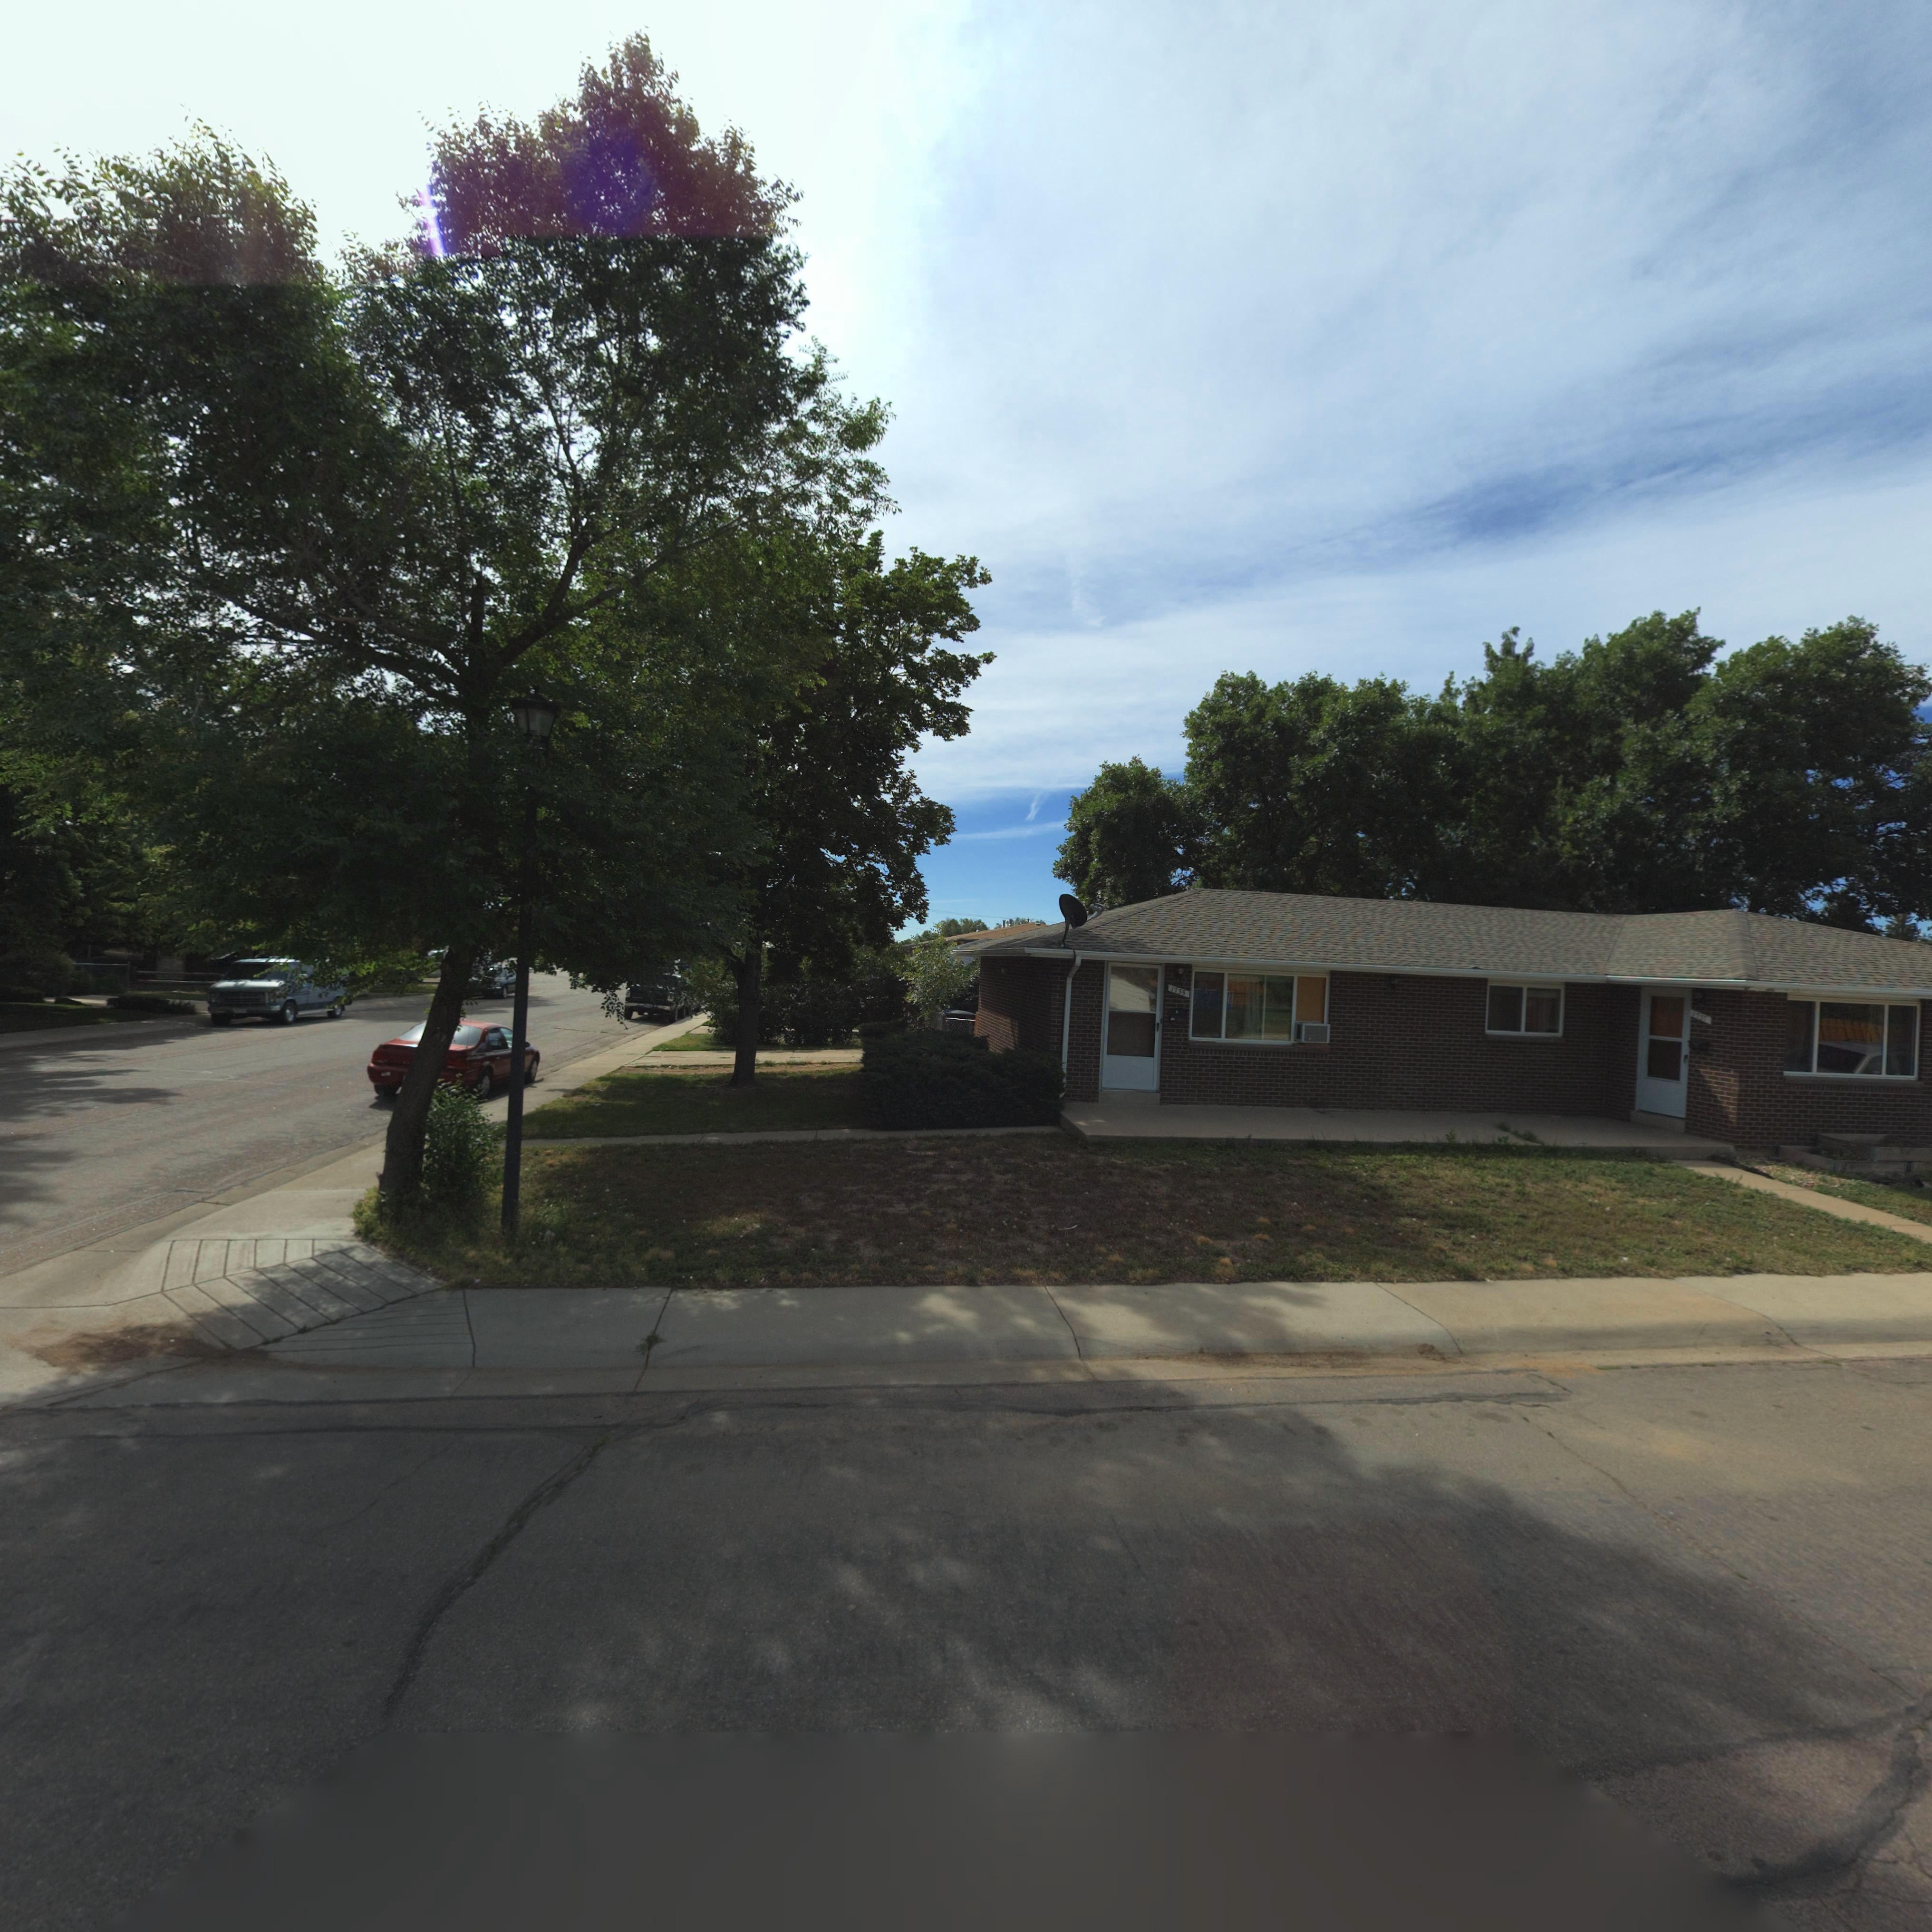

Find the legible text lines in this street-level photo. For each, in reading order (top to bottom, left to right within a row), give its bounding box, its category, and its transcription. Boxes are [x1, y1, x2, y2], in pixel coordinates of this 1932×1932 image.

[1170, 985, 1186, 996] StreetNumber: 1735
[1691, 1010, 1708, 1023] StreetNumber: 173*